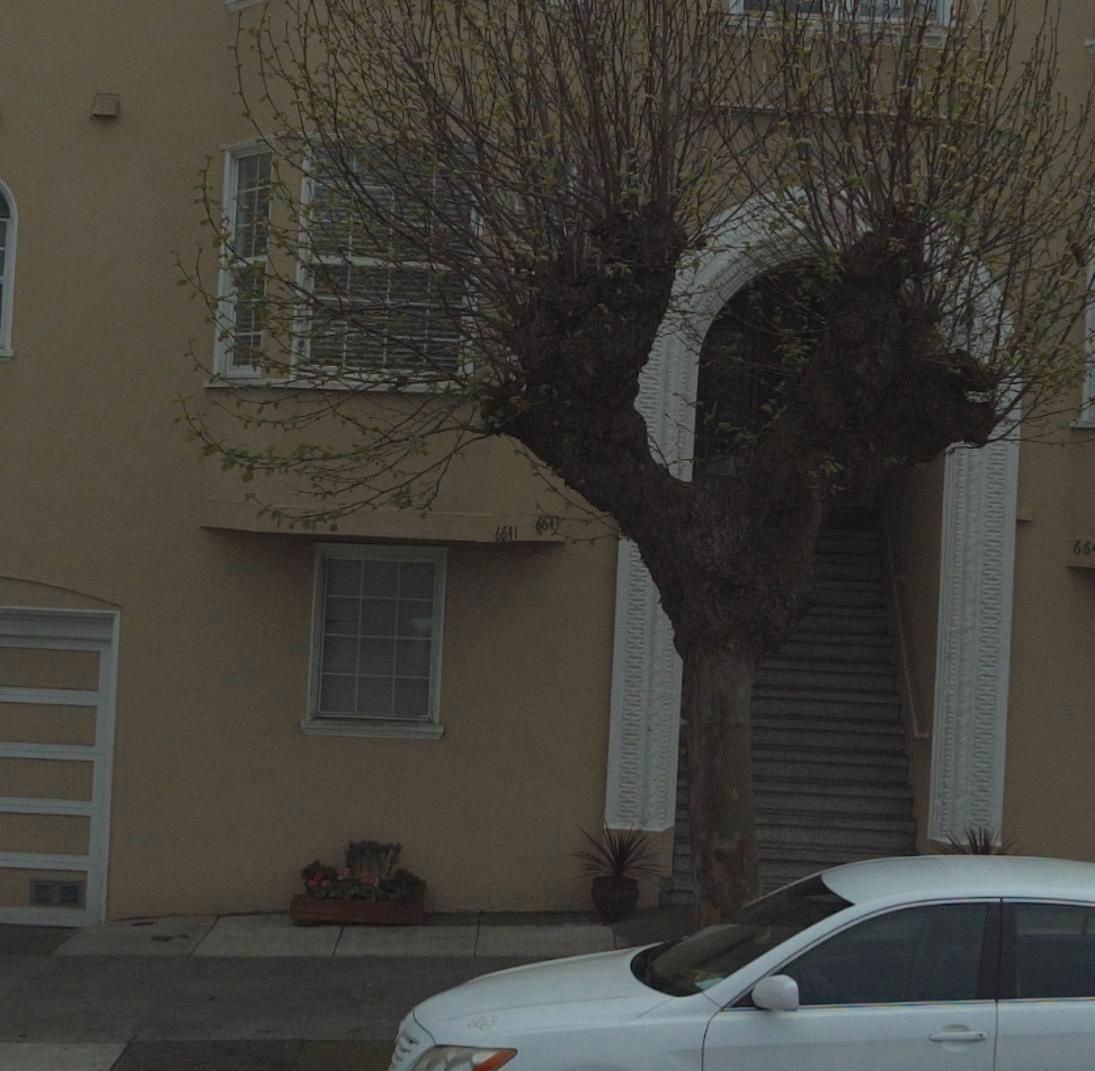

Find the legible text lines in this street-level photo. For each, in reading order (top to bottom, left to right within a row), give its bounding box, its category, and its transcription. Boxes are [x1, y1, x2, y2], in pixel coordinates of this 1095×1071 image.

[535, 515, 560, 531] StreetNumber: 6613
[494, 524, 519, 542] StreetNumber: 6641